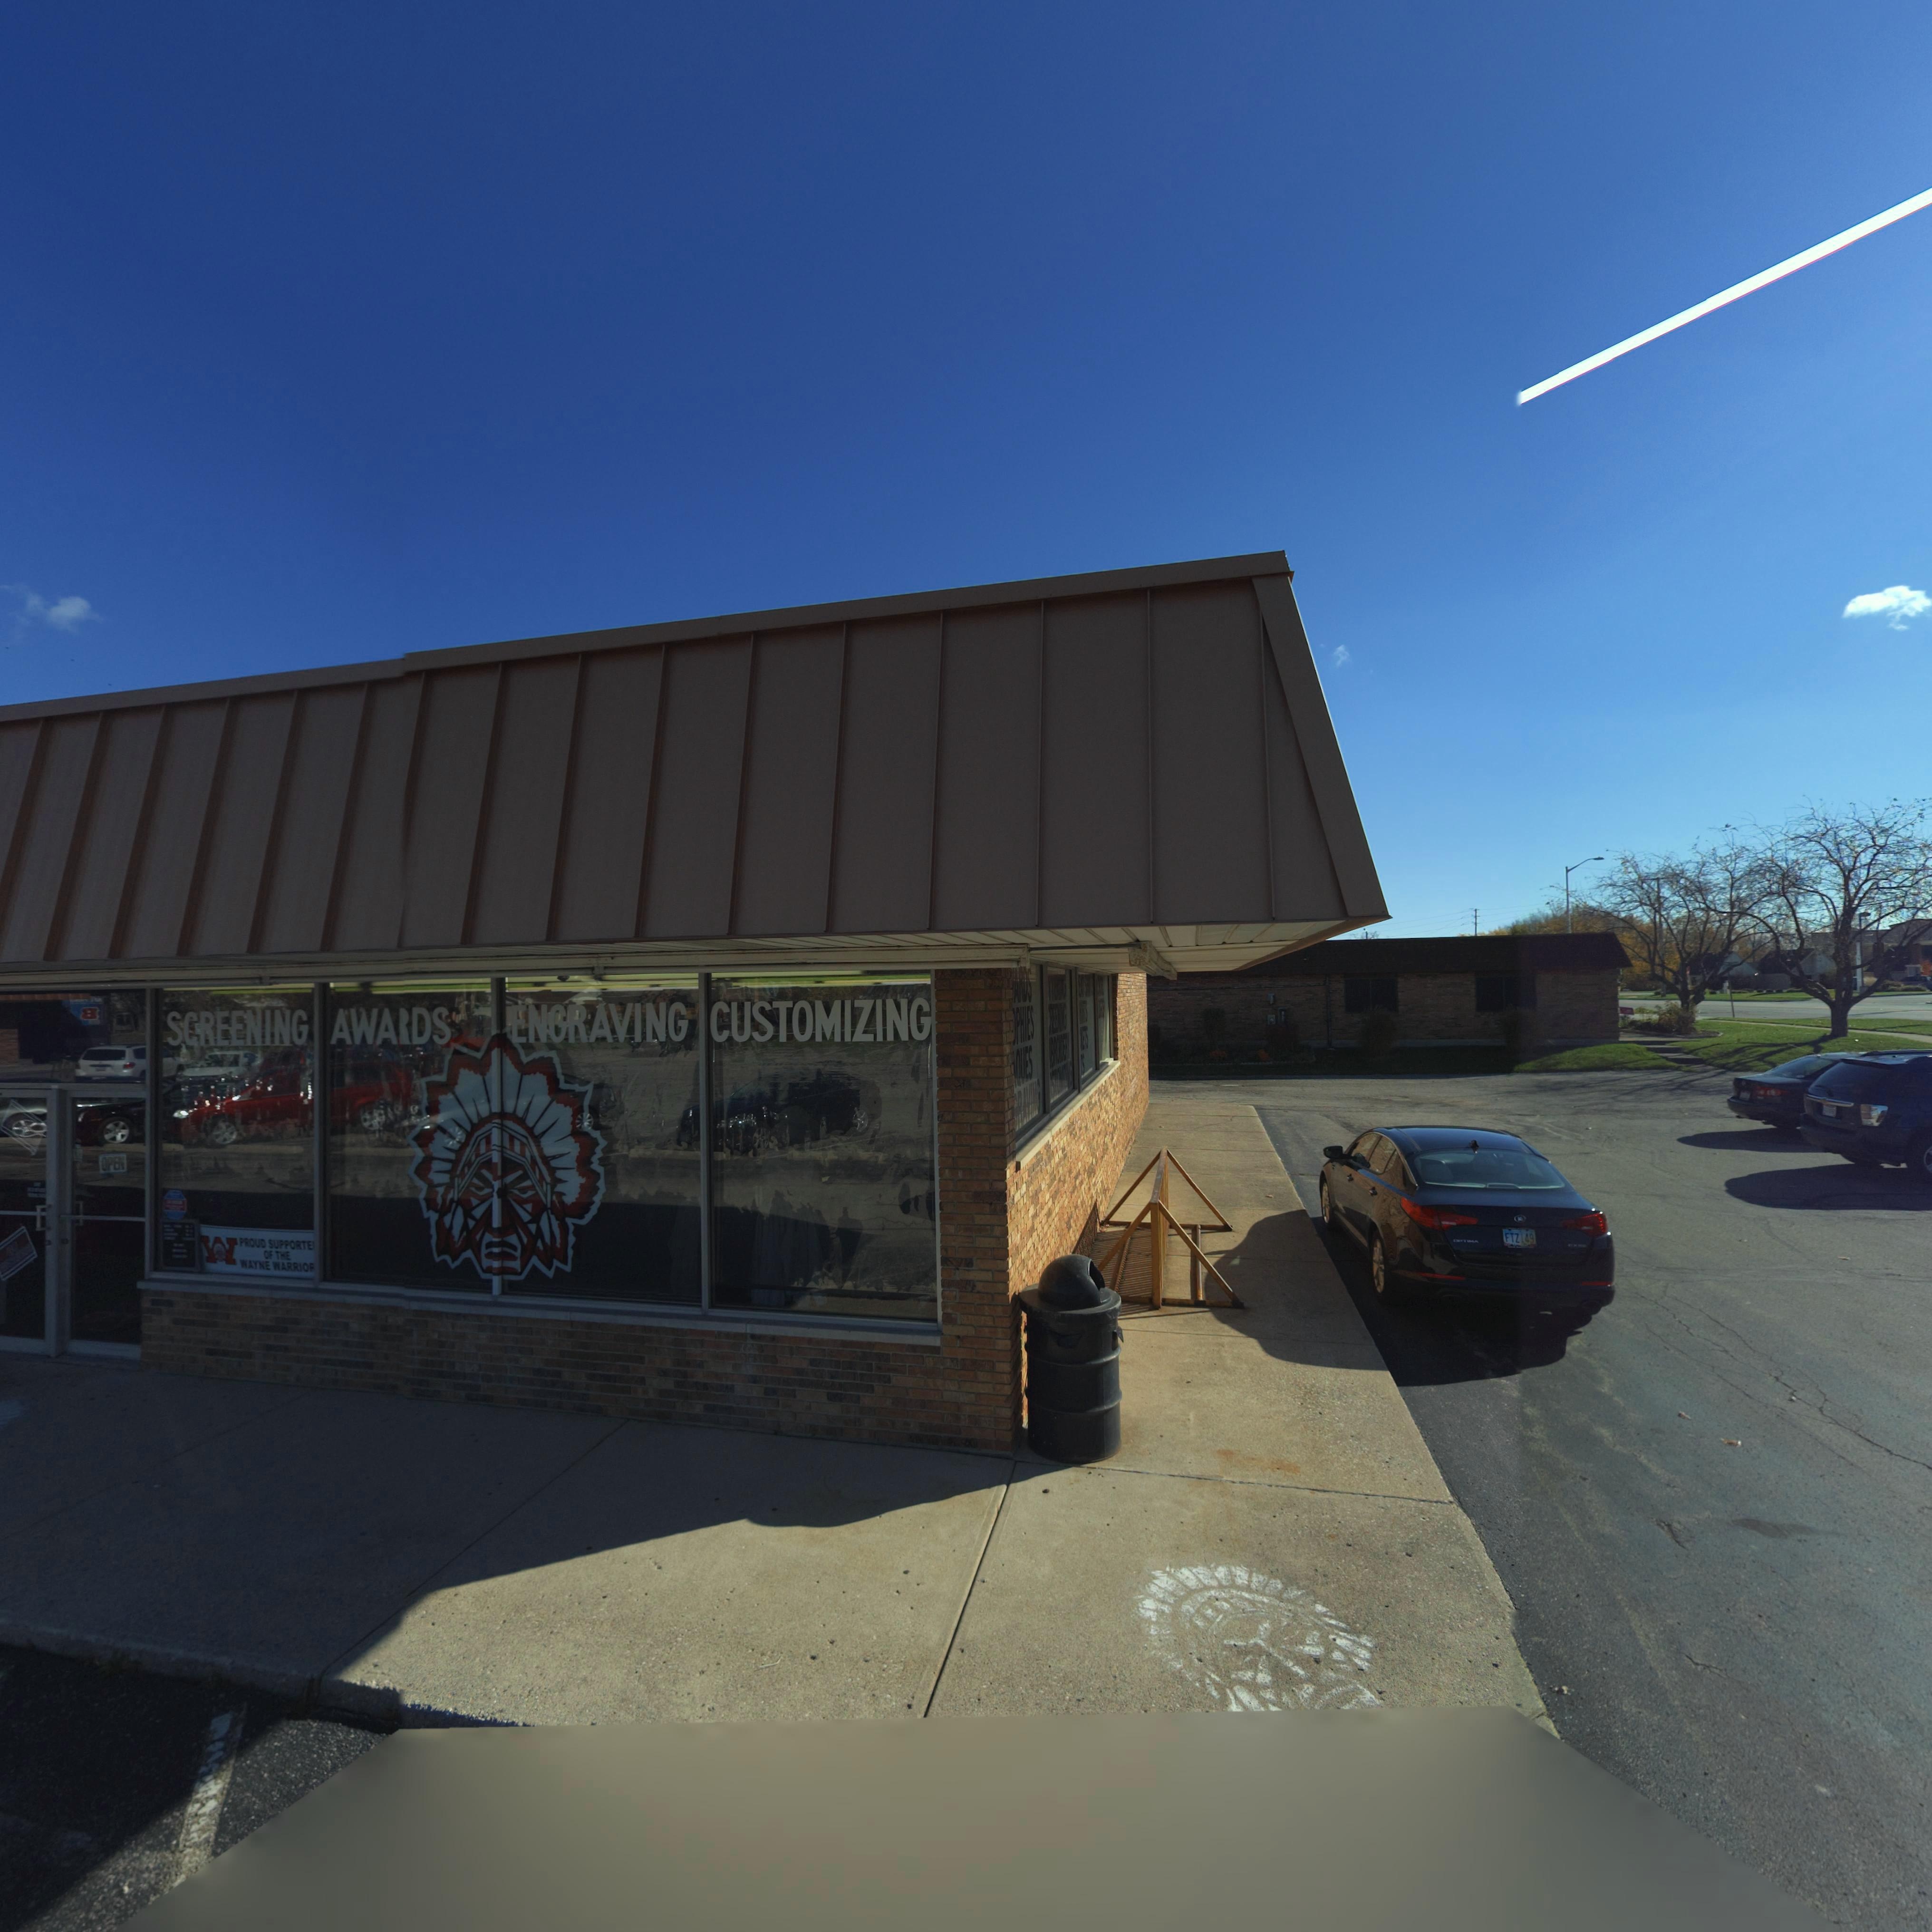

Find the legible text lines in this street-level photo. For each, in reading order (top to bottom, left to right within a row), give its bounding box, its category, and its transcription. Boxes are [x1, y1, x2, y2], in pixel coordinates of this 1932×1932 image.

[48, 1059, 77, 1080] StreetNumber: 710*